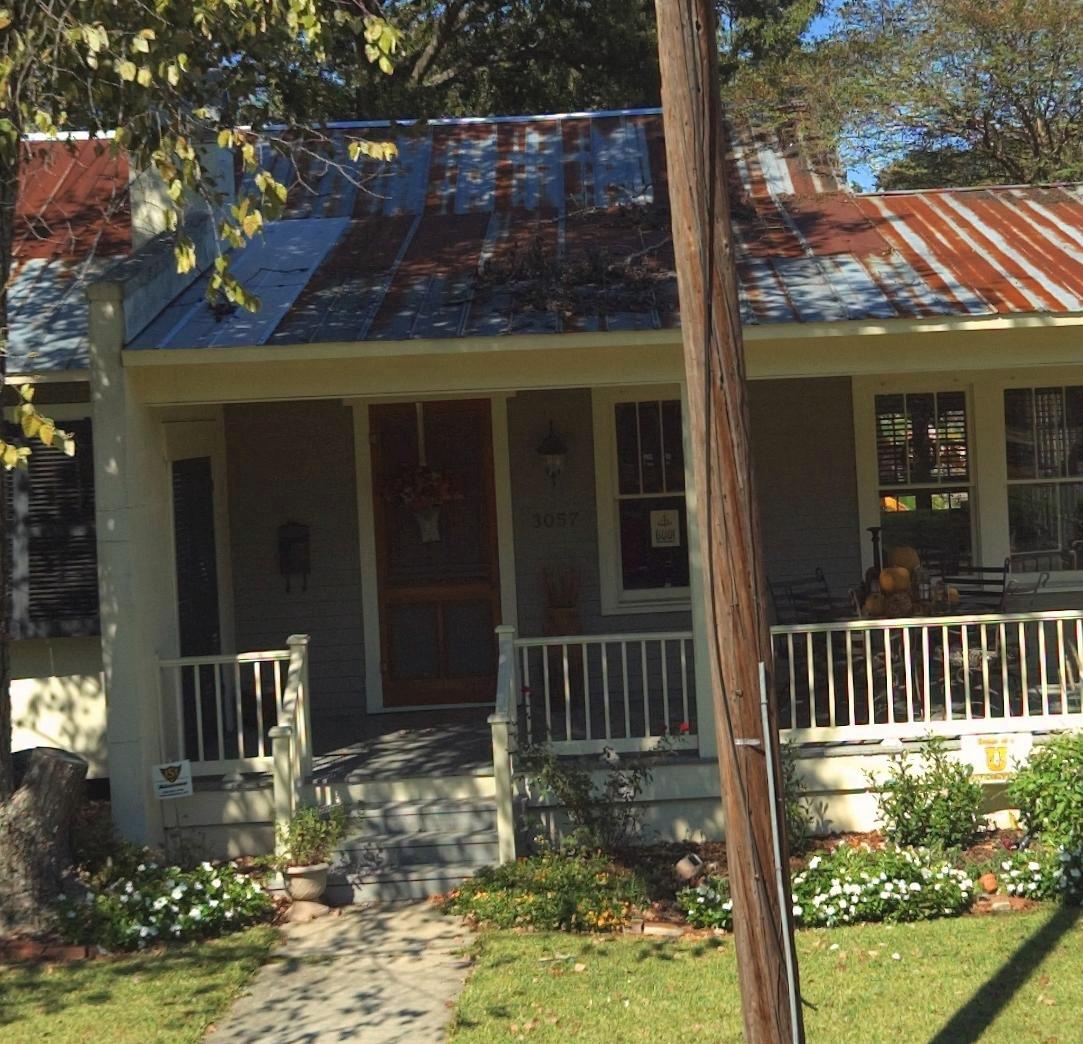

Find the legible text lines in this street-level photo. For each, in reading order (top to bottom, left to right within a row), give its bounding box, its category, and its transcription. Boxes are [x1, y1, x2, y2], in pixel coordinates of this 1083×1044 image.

[530, 508, 580, 531] StreetNumber: 3057